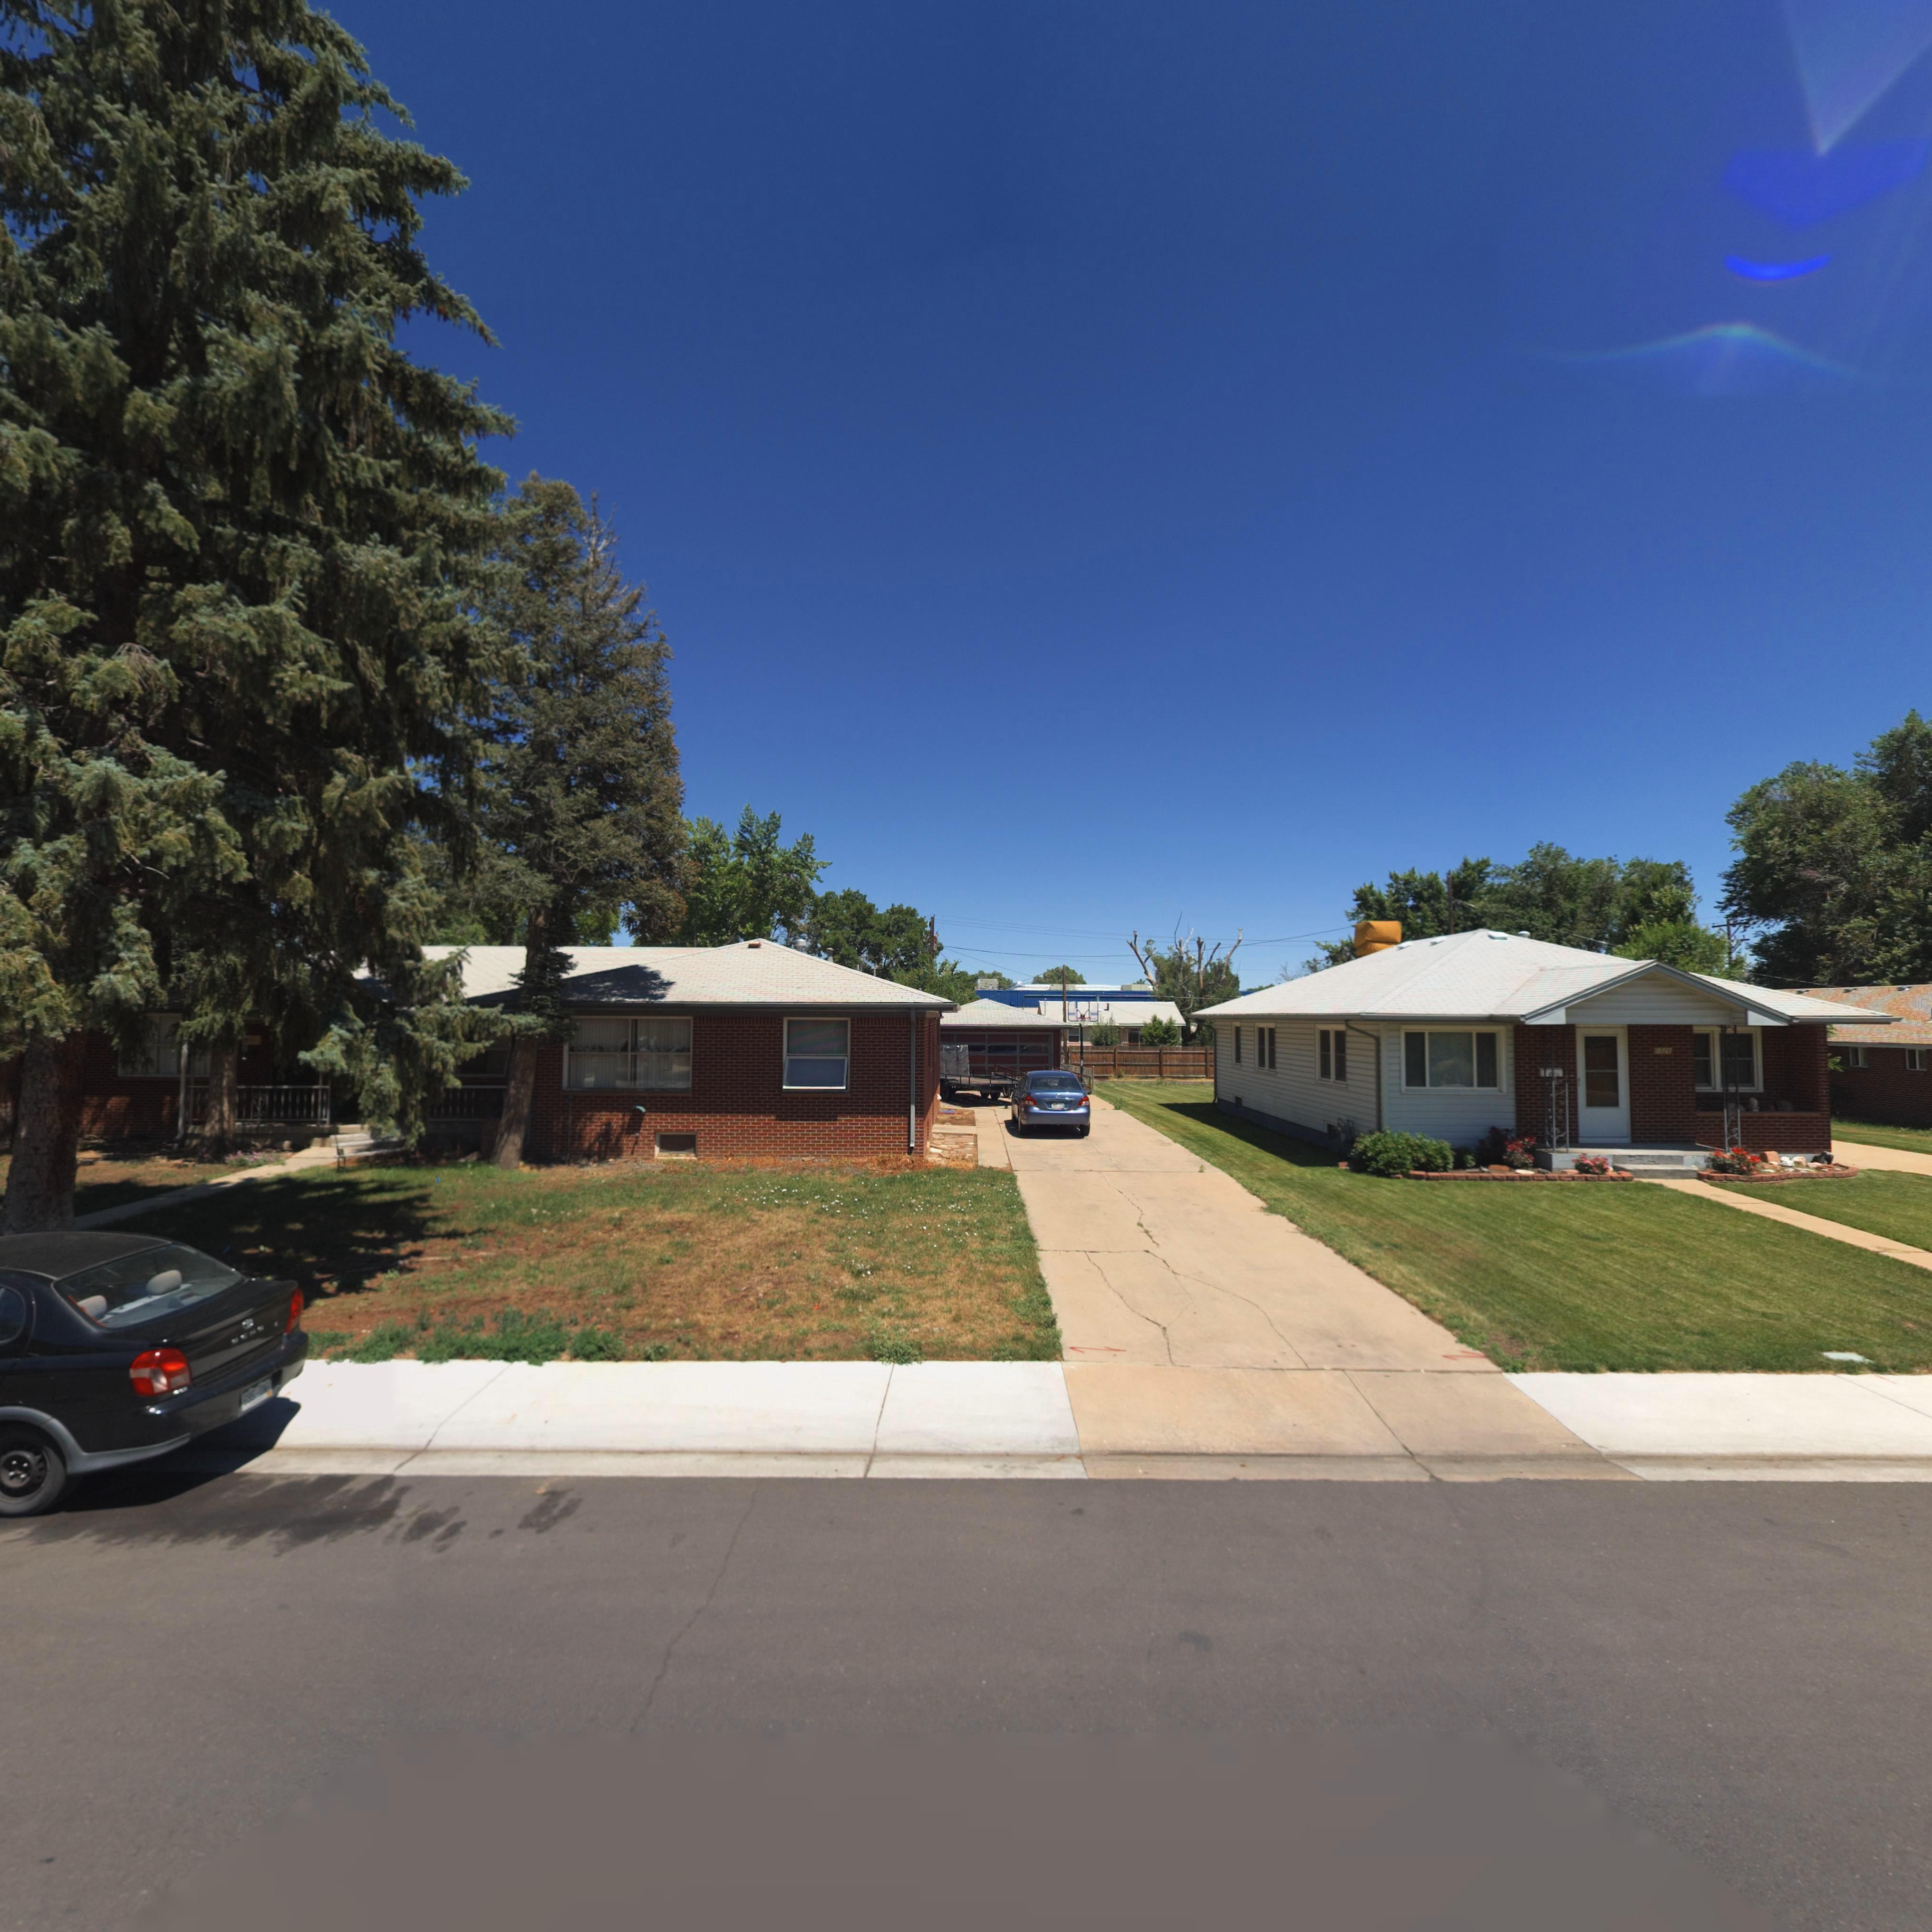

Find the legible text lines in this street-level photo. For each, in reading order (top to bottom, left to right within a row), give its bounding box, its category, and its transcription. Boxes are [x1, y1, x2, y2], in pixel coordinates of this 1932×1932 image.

[1655, 1047, 1671, 1053] StreetNumber: 1026